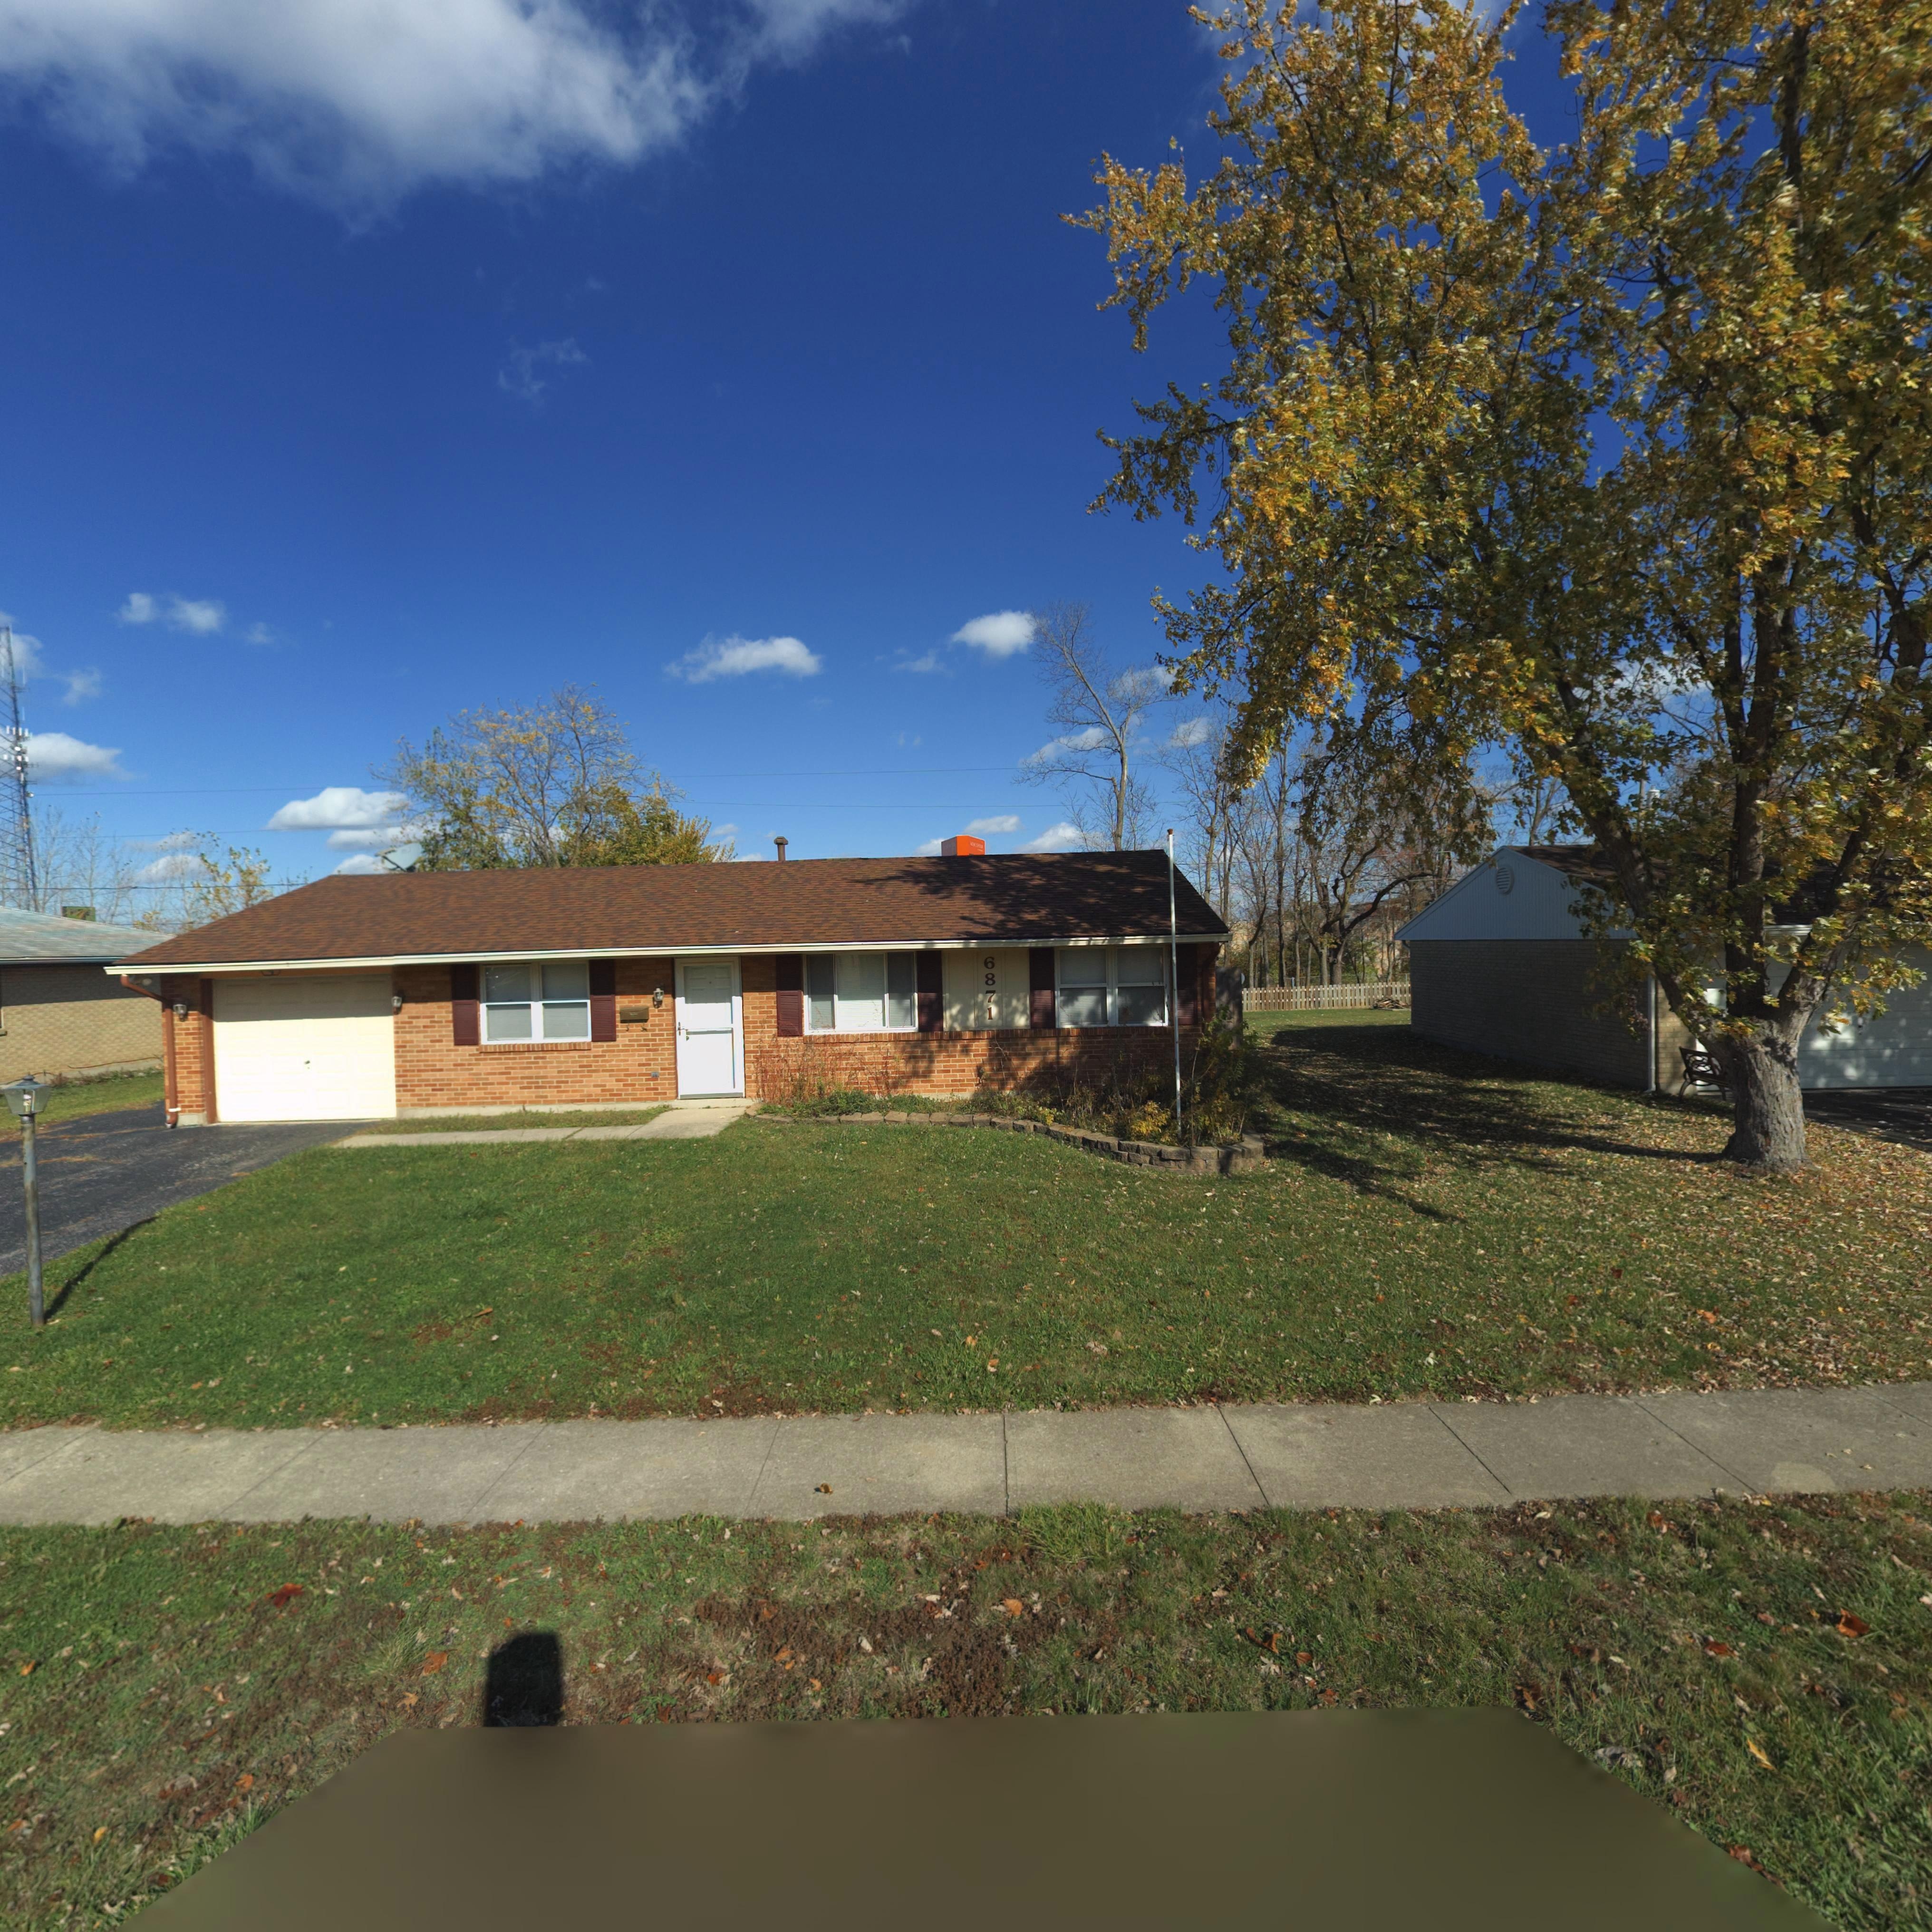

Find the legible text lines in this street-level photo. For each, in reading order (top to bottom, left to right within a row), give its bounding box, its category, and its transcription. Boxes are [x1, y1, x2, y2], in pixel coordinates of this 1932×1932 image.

[983, 955, 997, 1022] StreetNumber: 6871